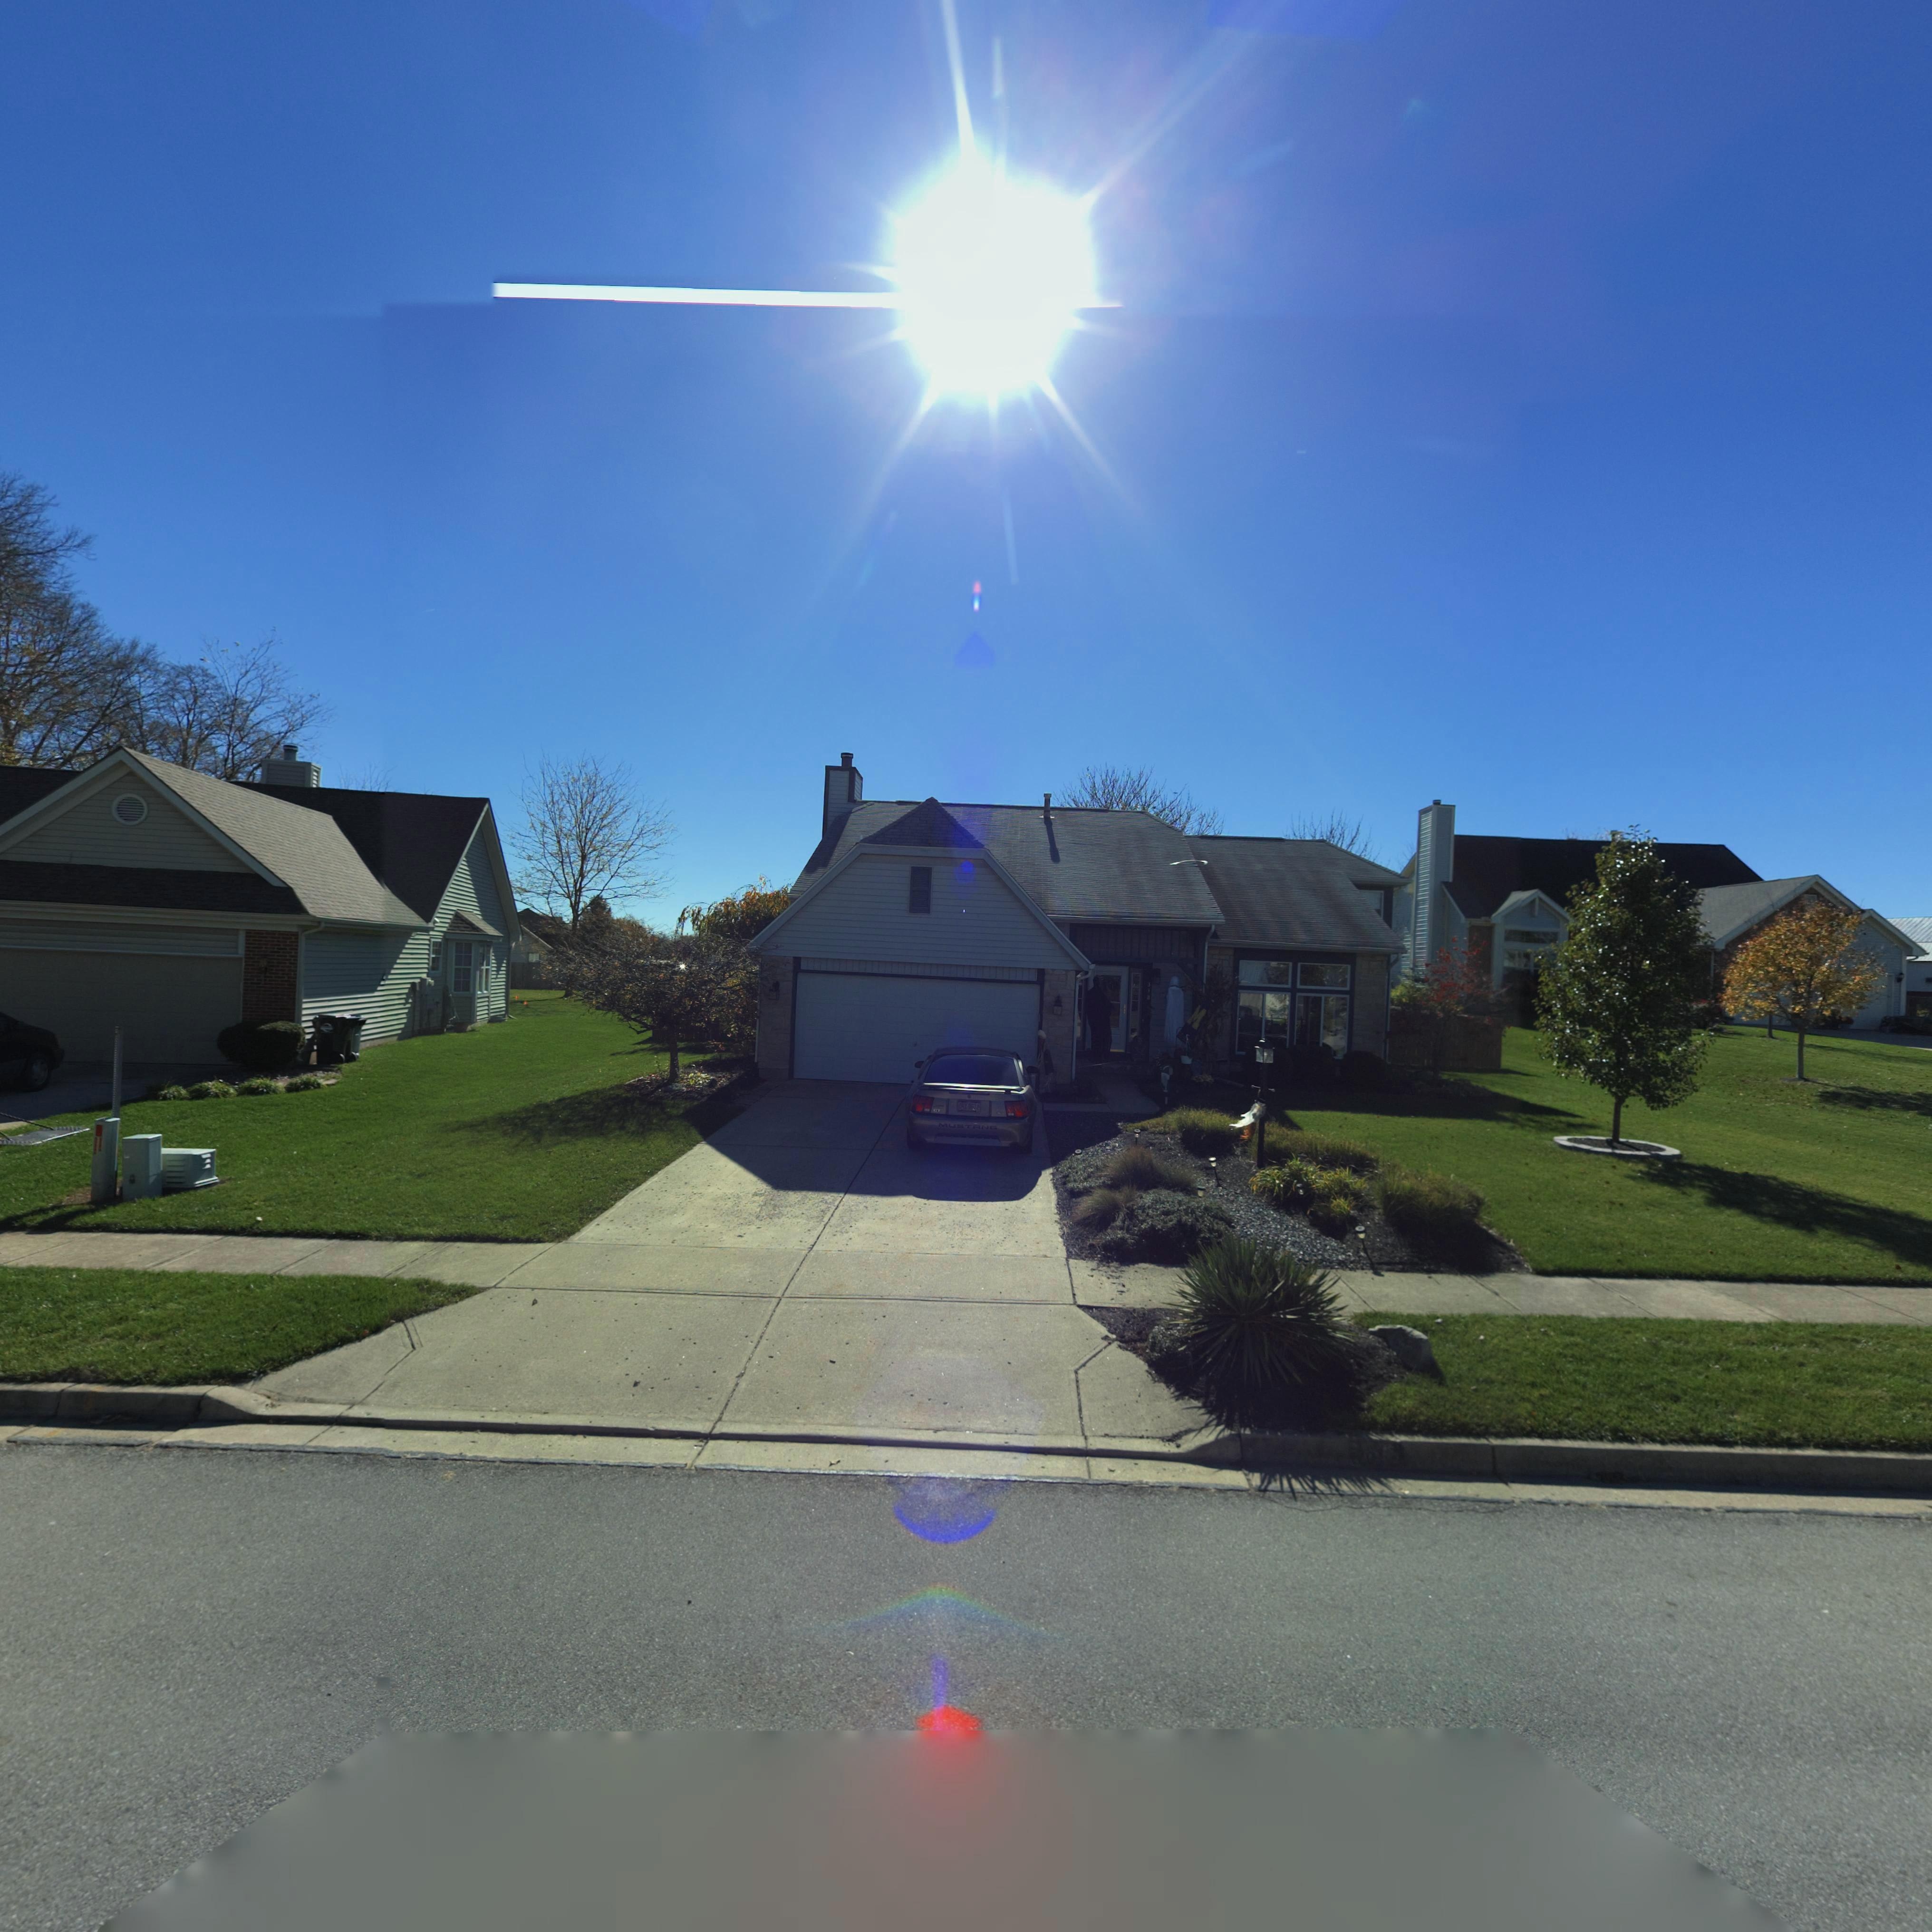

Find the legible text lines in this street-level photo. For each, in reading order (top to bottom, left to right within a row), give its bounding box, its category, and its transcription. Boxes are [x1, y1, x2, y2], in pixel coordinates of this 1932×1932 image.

[1146, 981, 1151, 1001] StreetNumber: 318